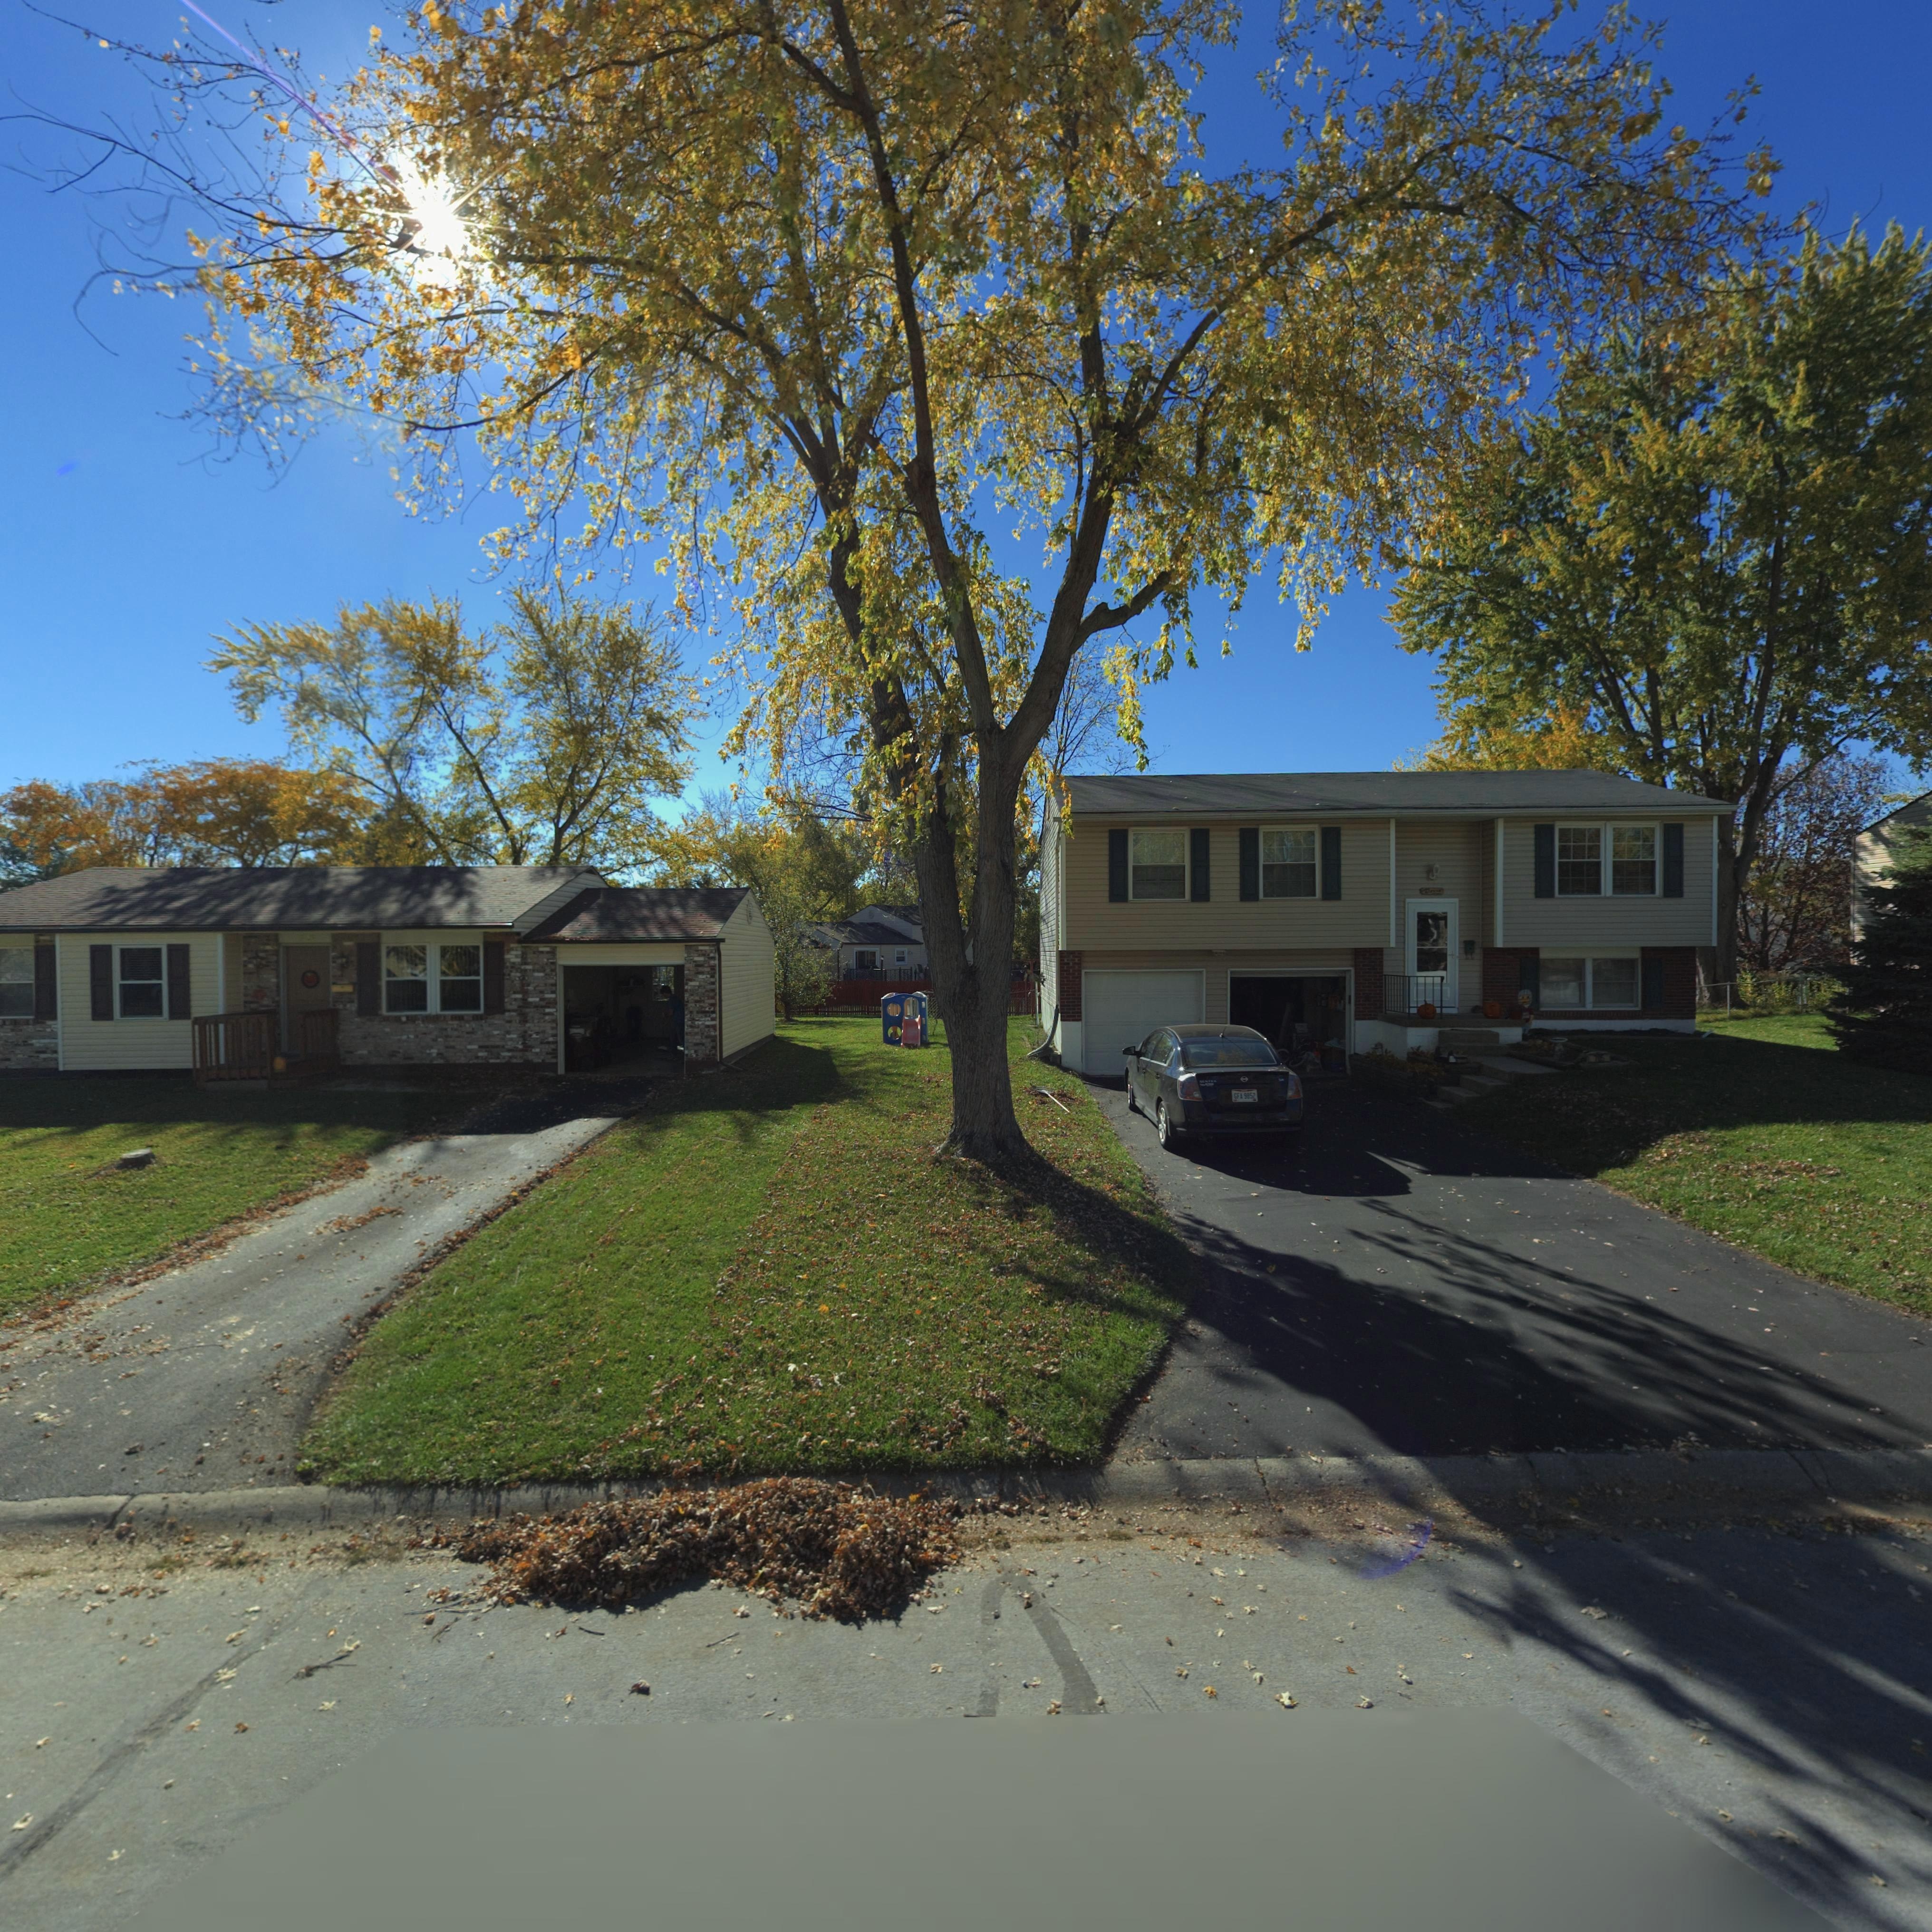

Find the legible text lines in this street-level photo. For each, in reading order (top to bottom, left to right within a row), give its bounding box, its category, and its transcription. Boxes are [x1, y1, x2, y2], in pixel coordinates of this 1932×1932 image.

[298, 933, 317, 942] StreetNumber: 70*
[1592, 1053, 1606, 1062] StreetNumber: 705
[1233, 1091, 1256, 1100] None: GFA 9852